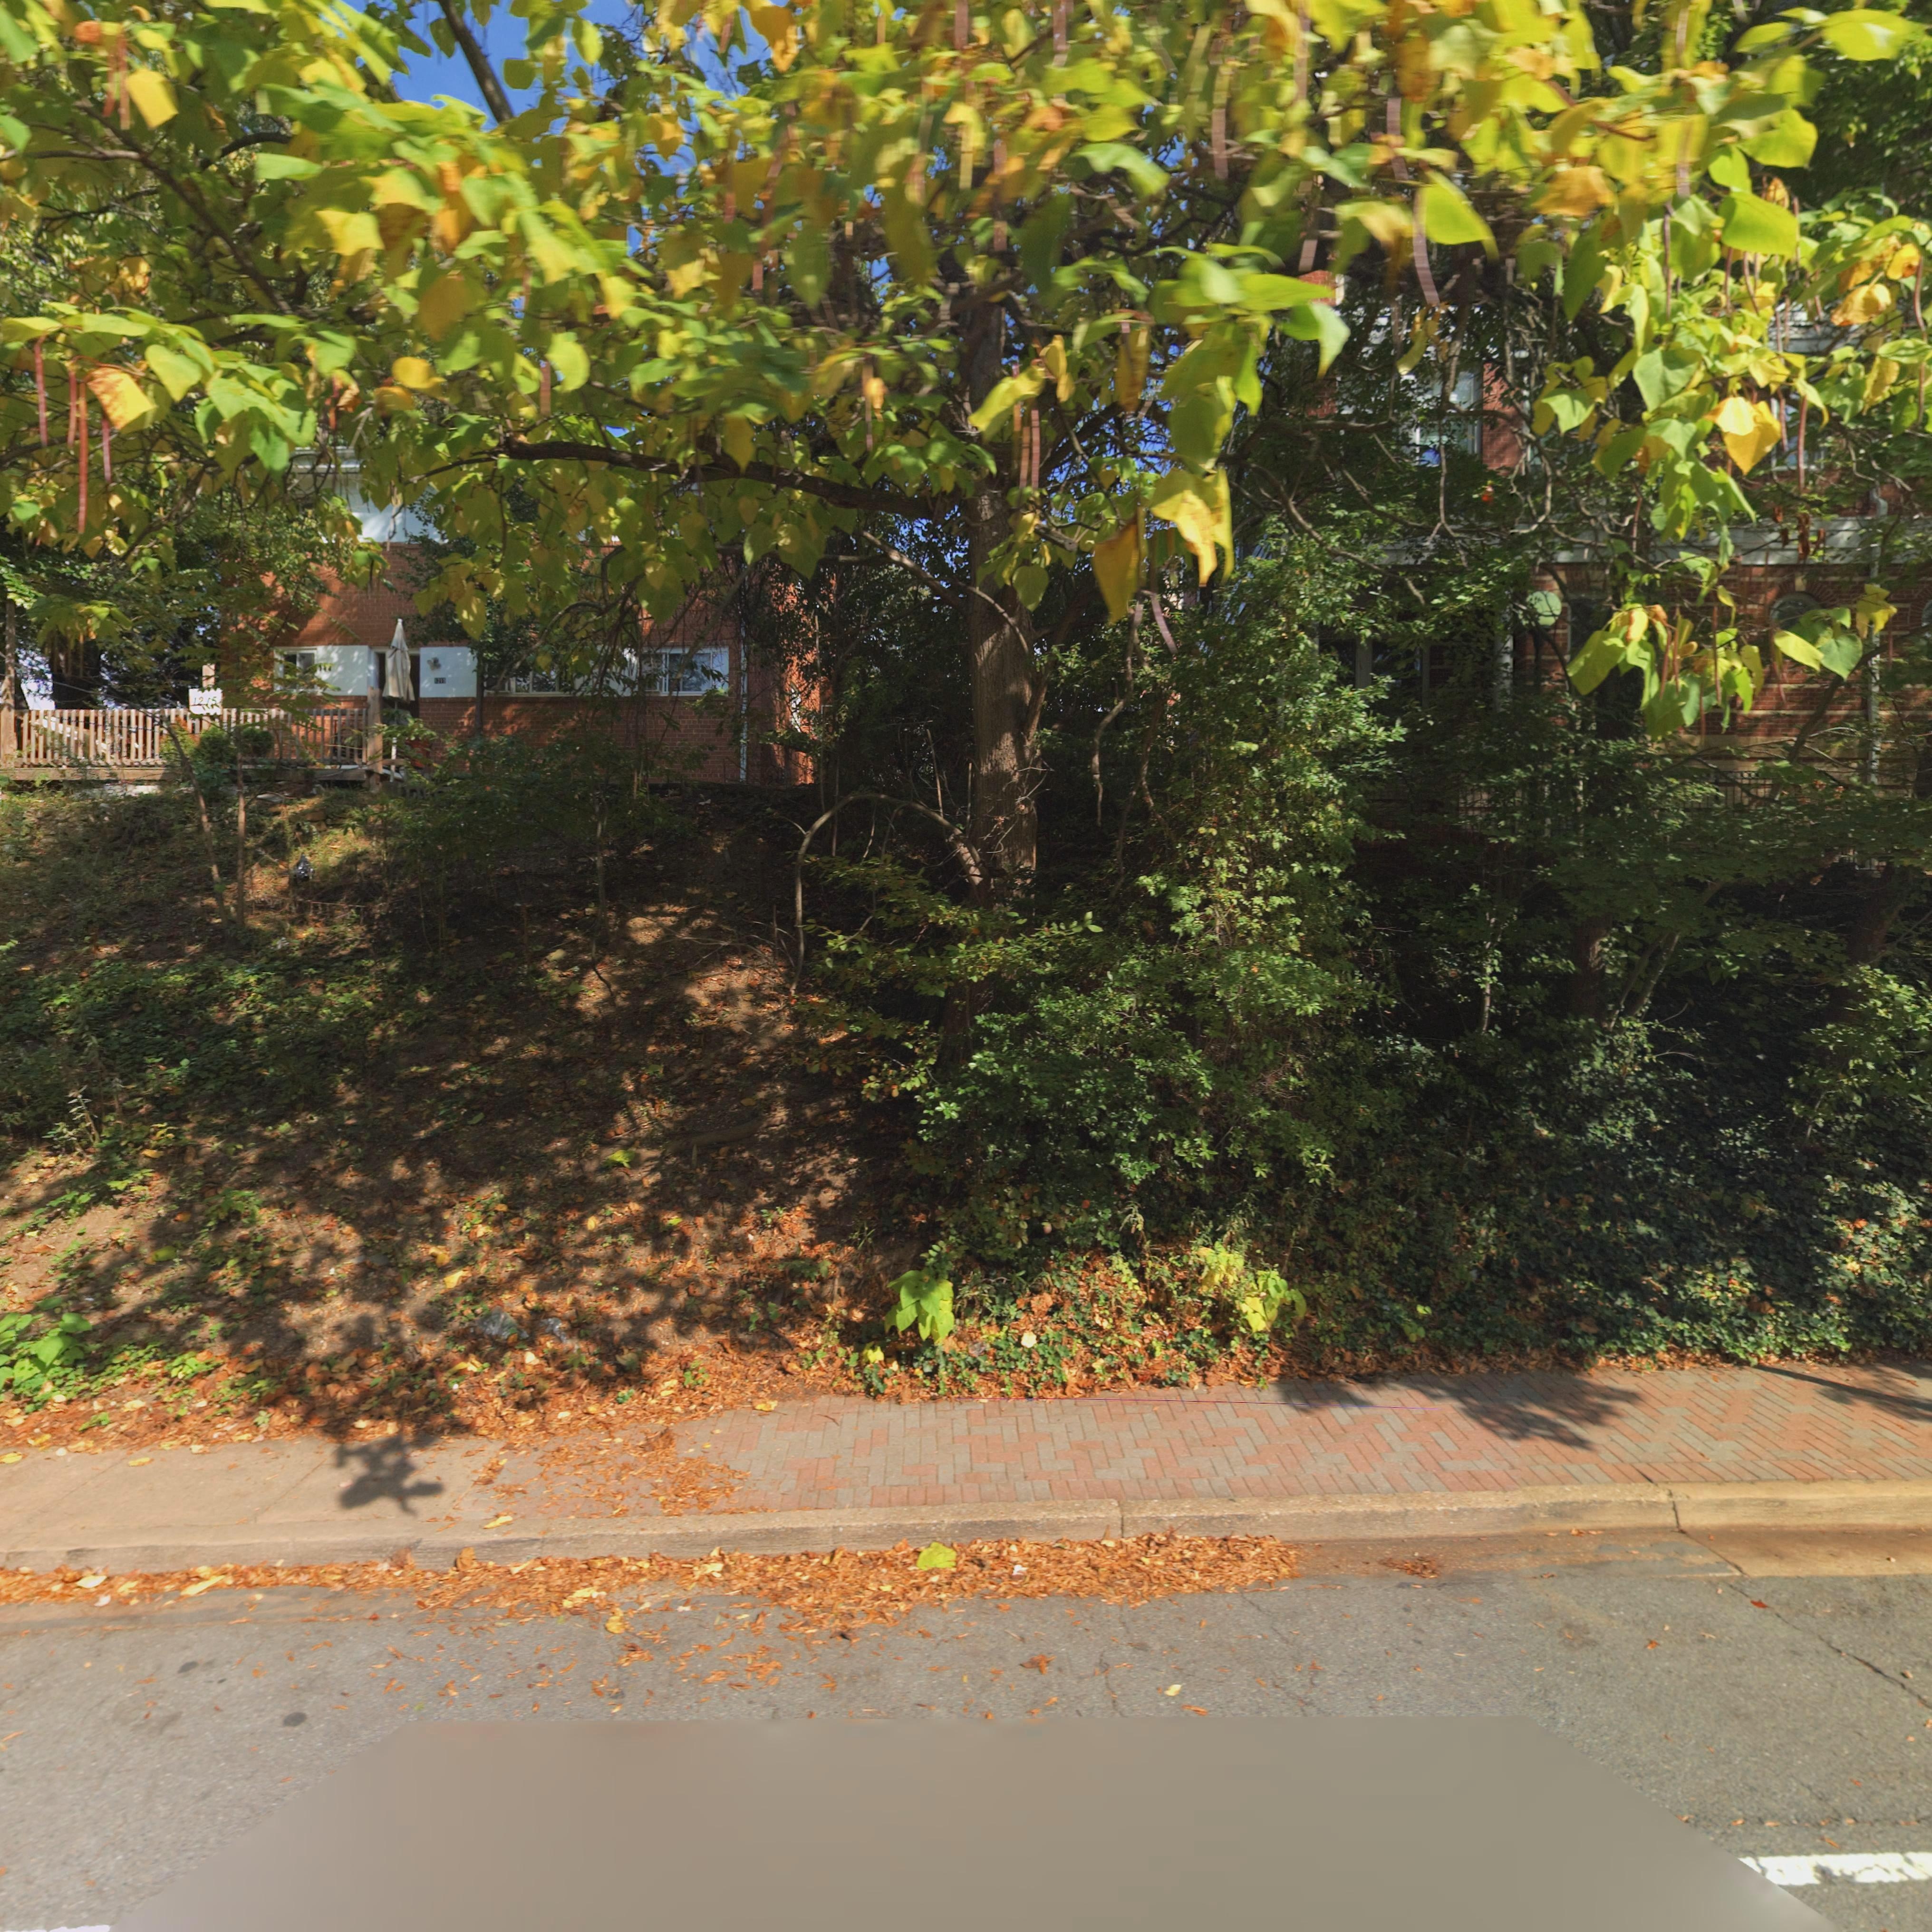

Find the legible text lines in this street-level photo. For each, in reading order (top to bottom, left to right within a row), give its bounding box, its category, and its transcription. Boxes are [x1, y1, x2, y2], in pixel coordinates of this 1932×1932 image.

[434, 677, 446, 684] StreetNumber: 121*
[193, 696, 217, 705] StreetNumber: 1215